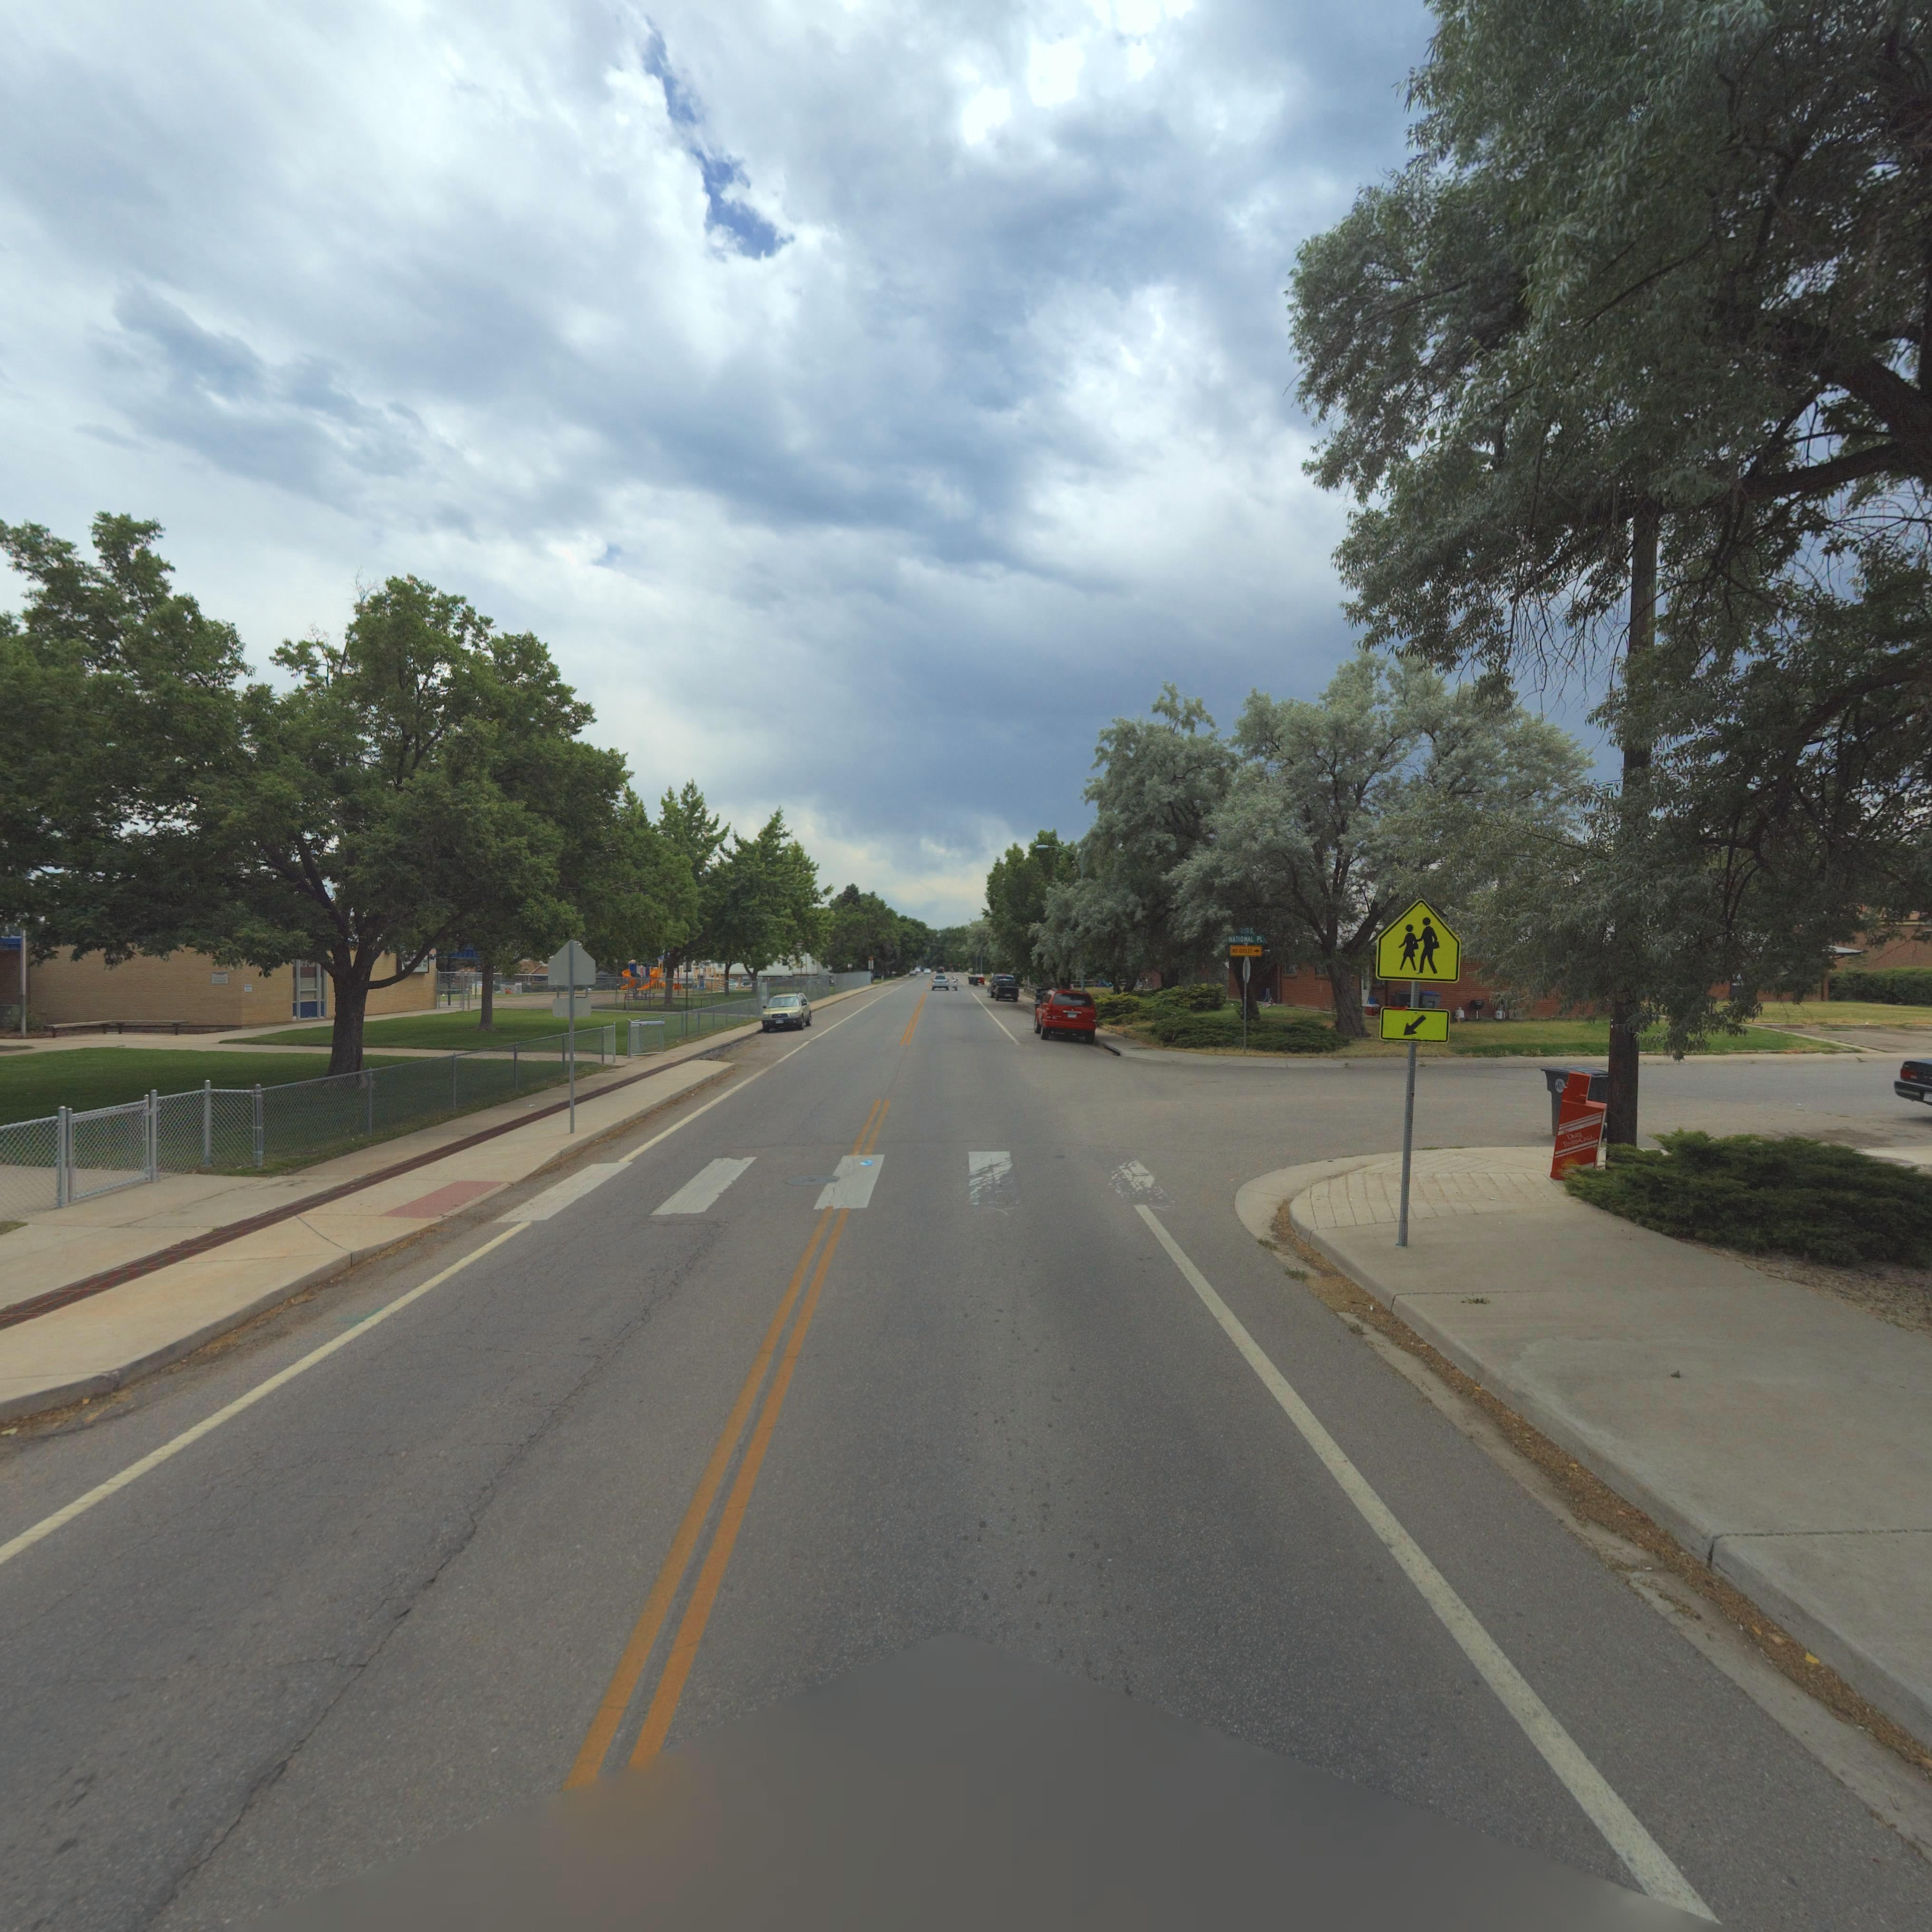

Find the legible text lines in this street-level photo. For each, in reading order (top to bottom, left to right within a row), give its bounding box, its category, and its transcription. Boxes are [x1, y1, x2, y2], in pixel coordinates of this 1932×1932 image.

[1239, 927, 1254, 934] StreetName: LL*ER S*
[1228, 936, 1263, 942] StreetName: NATIONAL PL